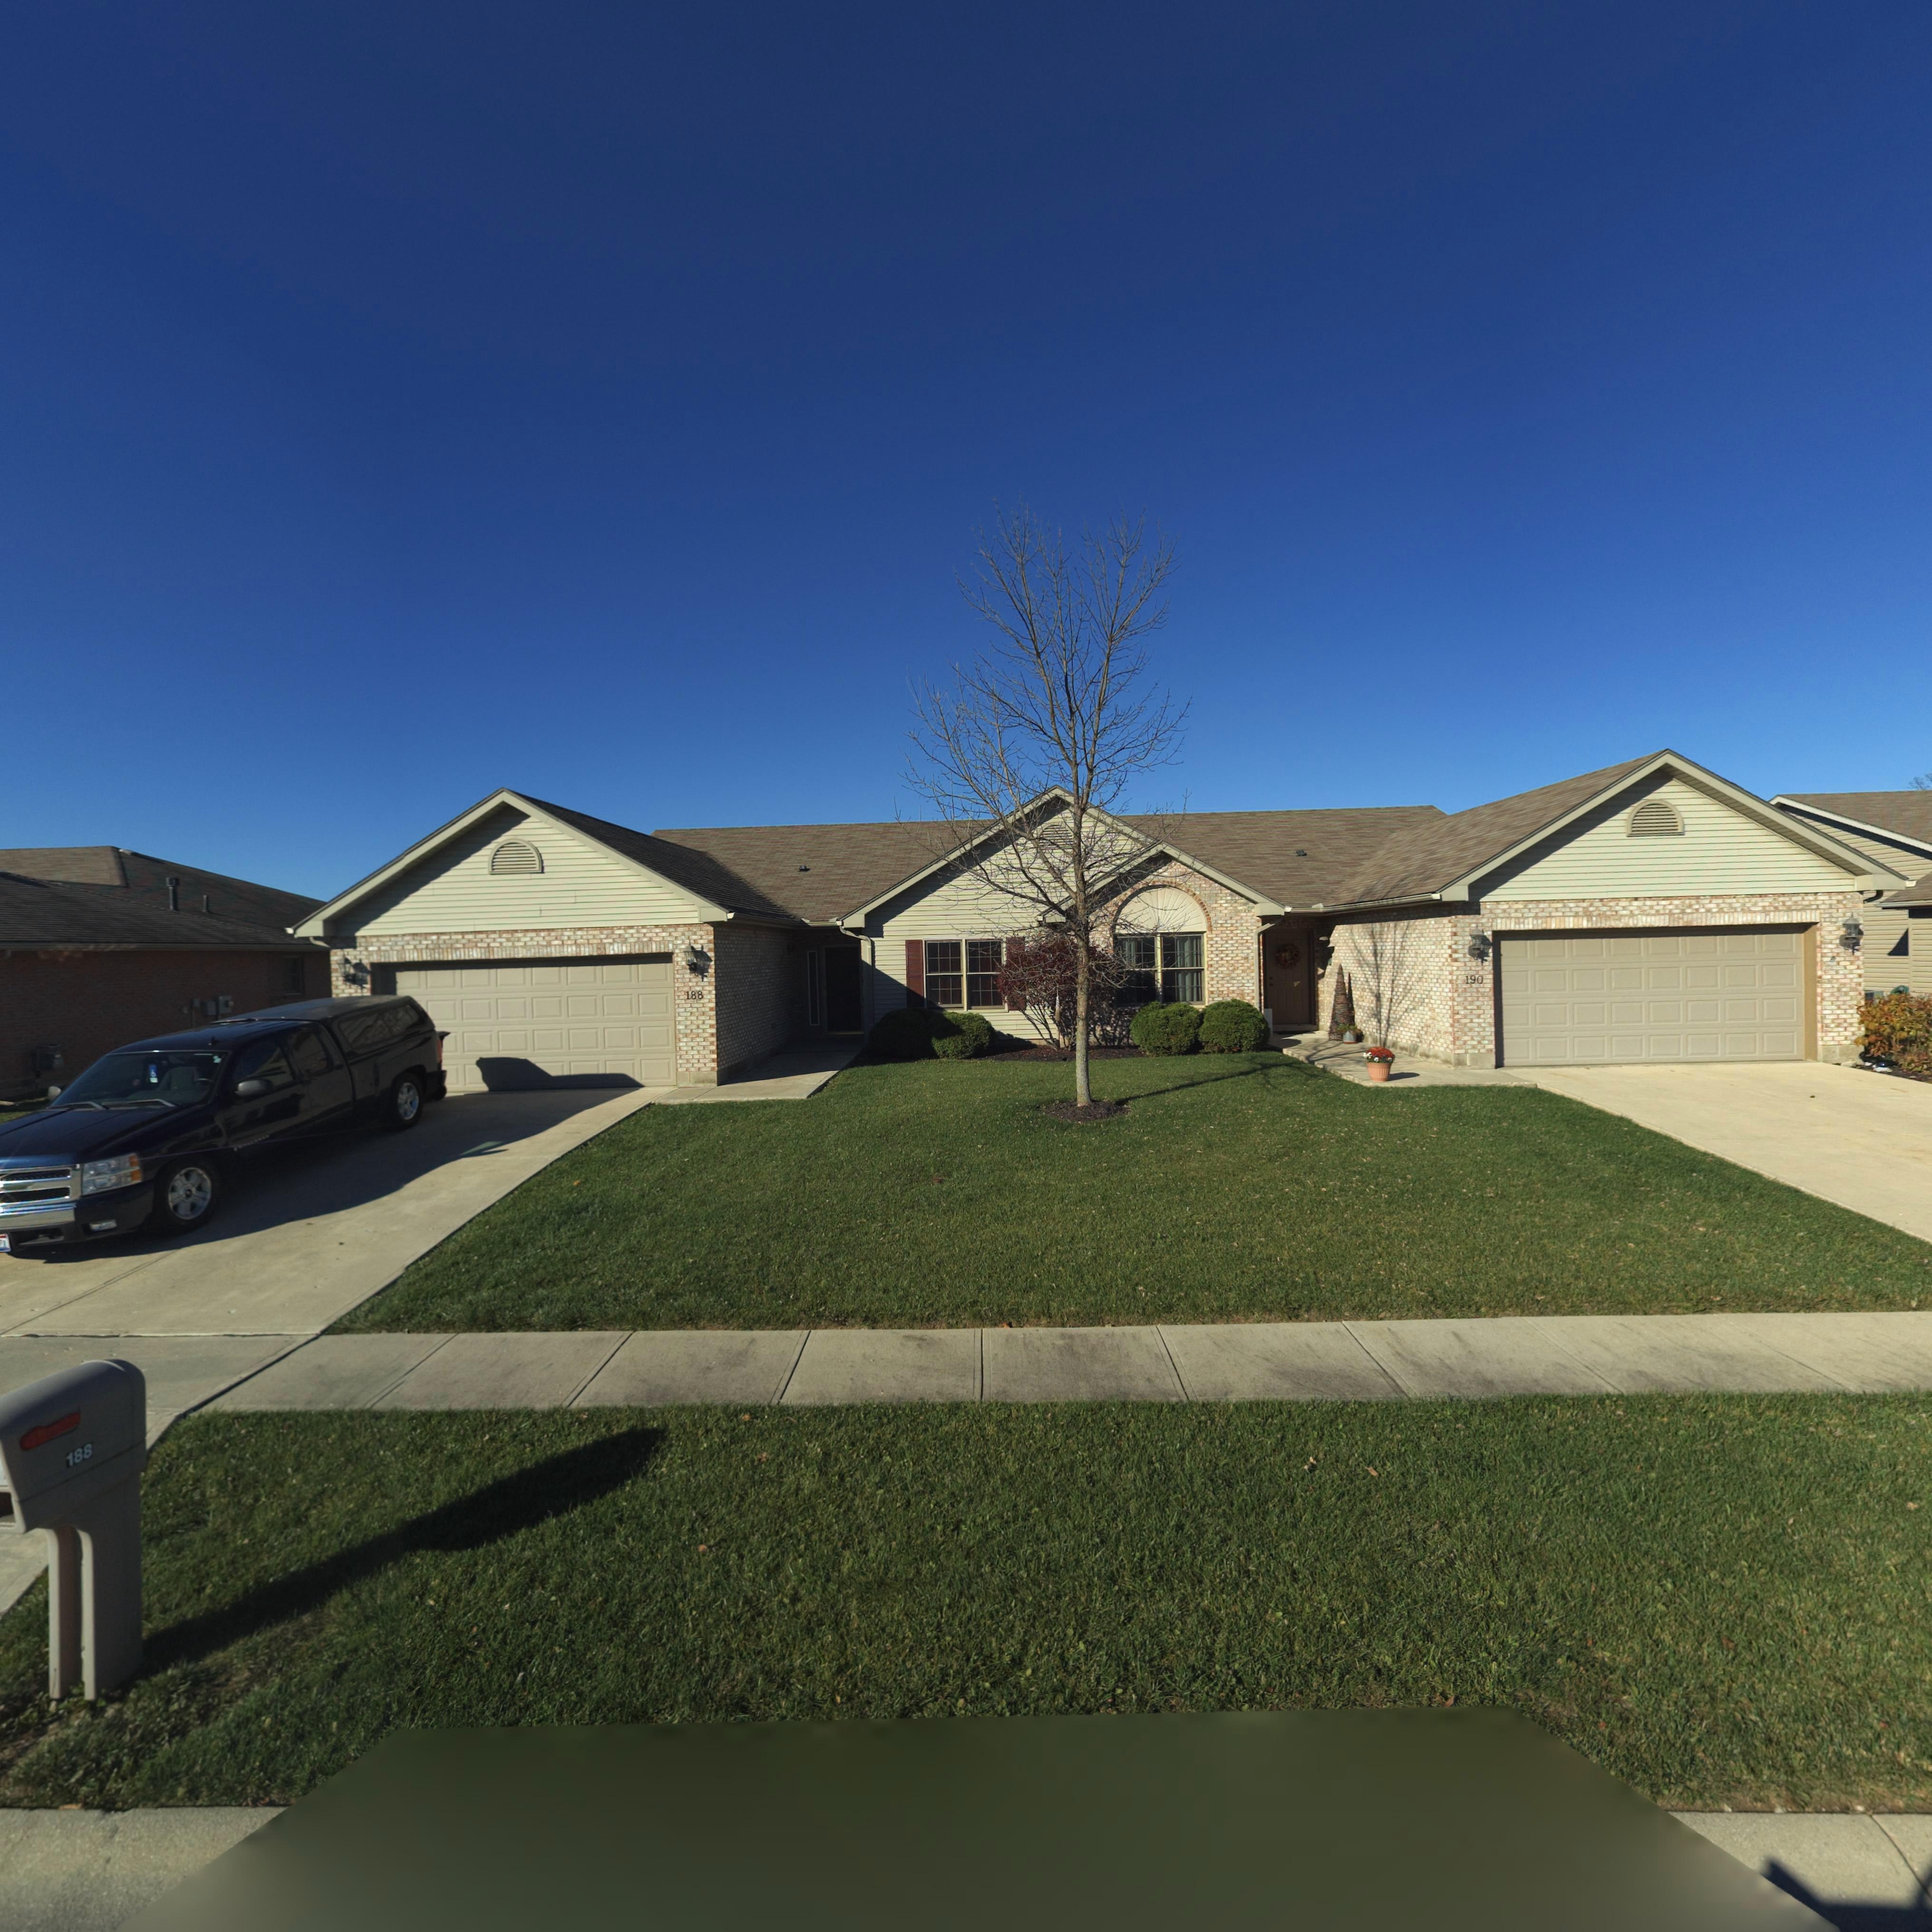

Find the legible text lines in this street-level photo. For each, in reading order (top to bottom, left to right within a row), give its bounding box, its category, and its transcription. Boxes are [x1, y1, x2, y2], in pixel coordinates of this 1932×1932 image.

[1464, 974, 1484, 985] StreetNumber: 190
[685, 989, 704, 1001] StreetNumber: 188
[65, 1440, 94, 1471] StreetNumber: 188